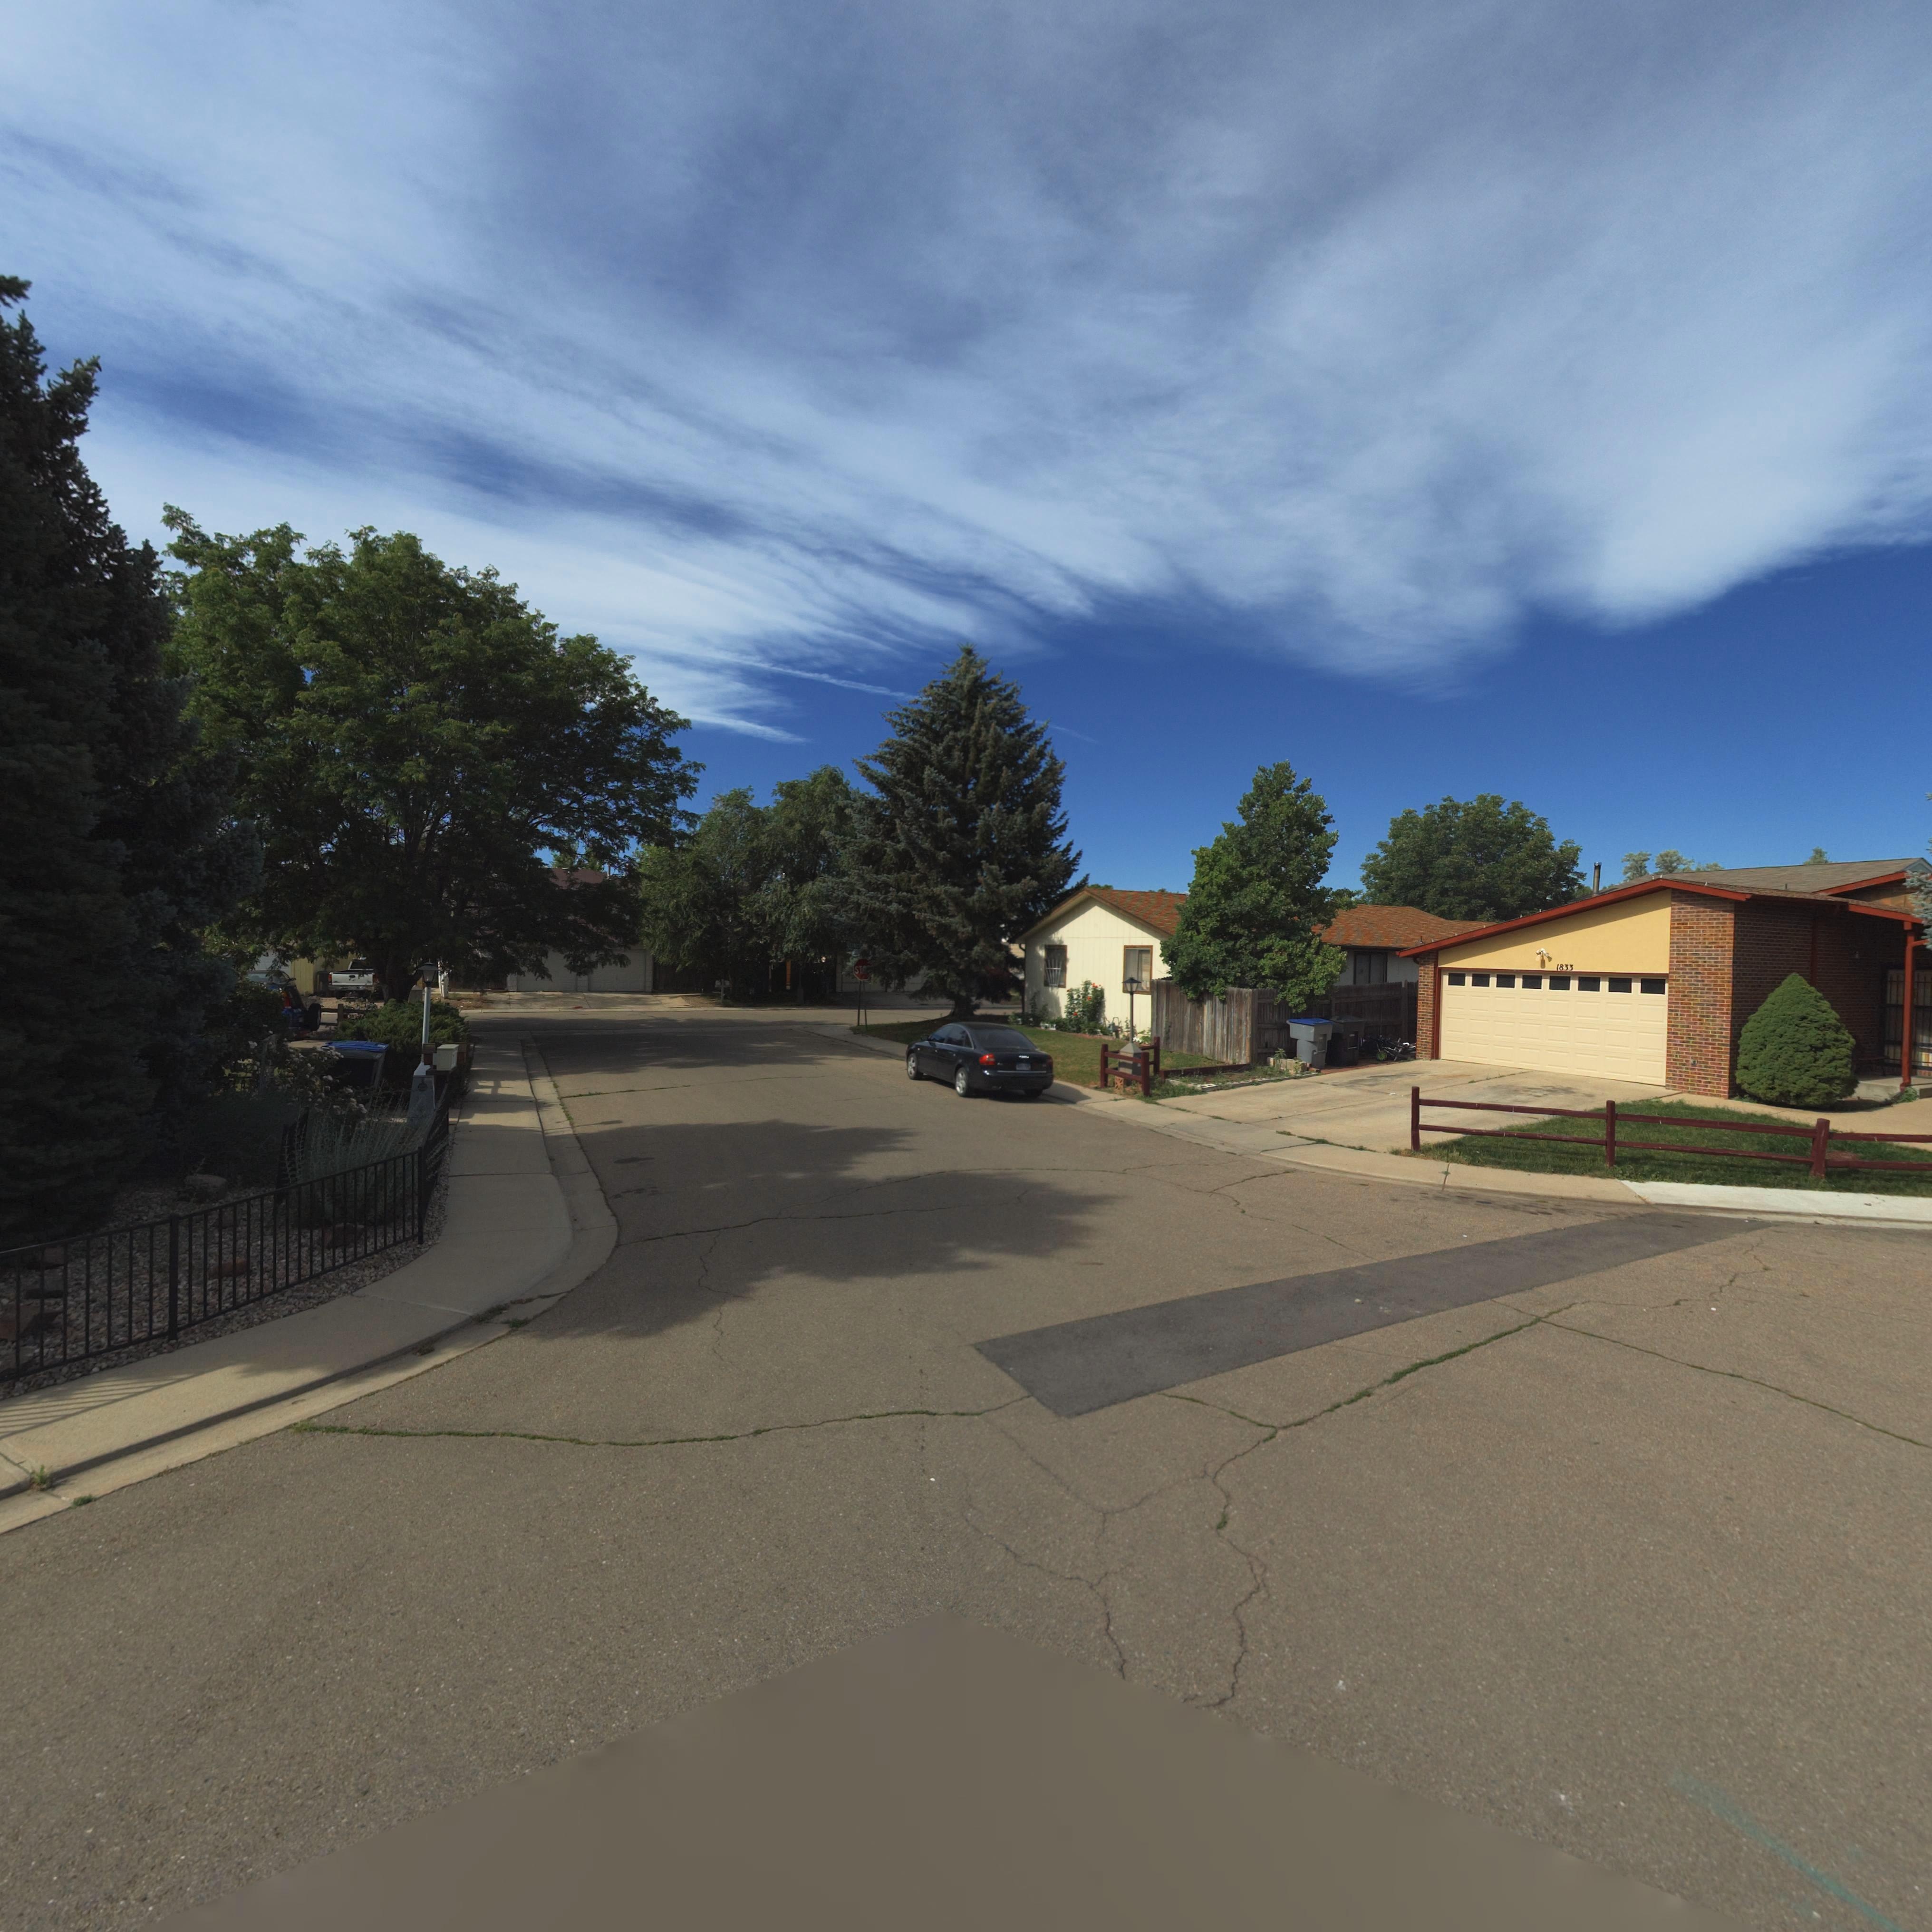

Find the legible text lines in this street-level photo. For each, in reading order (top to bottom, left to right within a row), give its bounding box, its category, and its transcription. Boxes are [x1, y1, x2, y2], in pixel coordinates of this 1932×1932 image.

[1556, 963, 1573, 971] StreetNumber: 1833